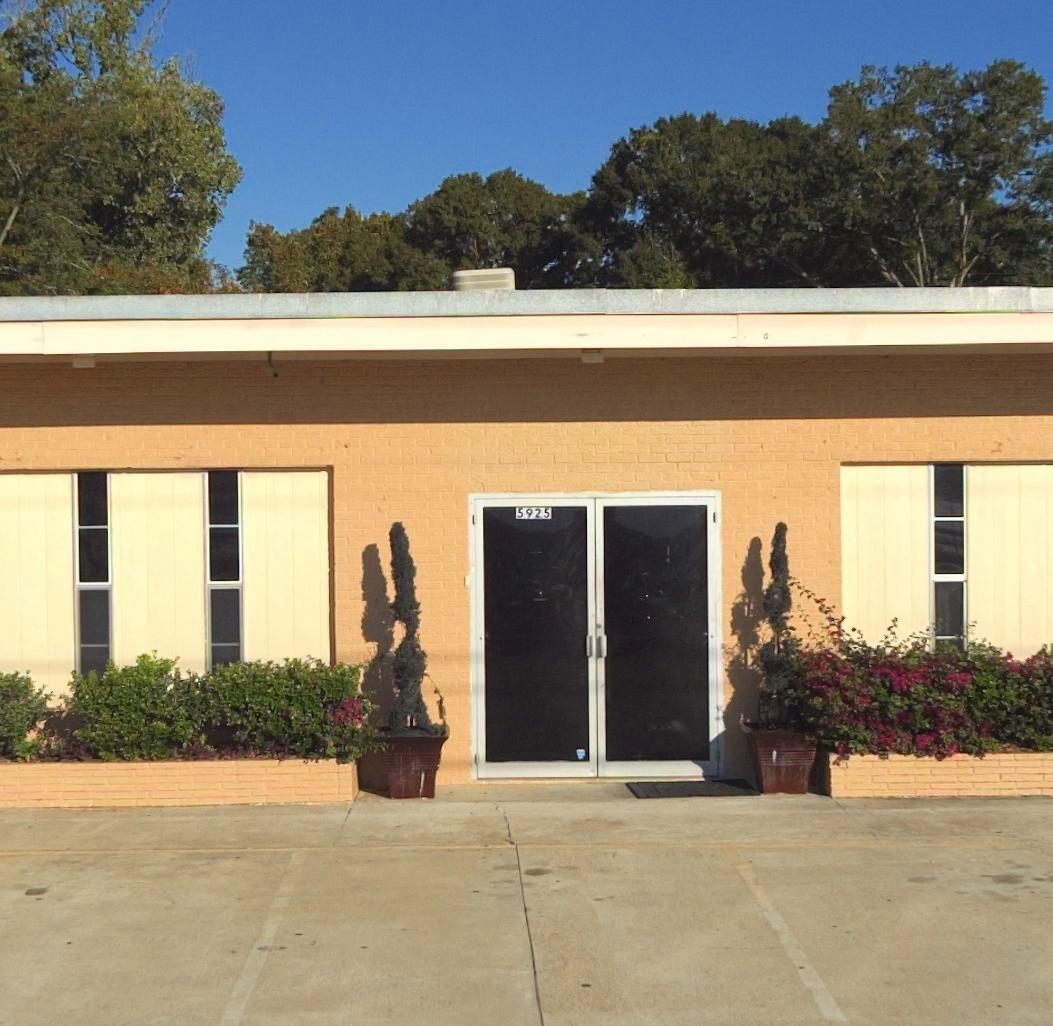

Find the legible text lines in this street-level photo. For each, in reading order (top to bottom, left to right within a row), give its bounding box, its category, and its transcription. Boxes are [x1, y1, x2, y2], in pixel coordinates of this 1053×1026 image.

[515, 506, 553, 520] StreetNumber: 5925